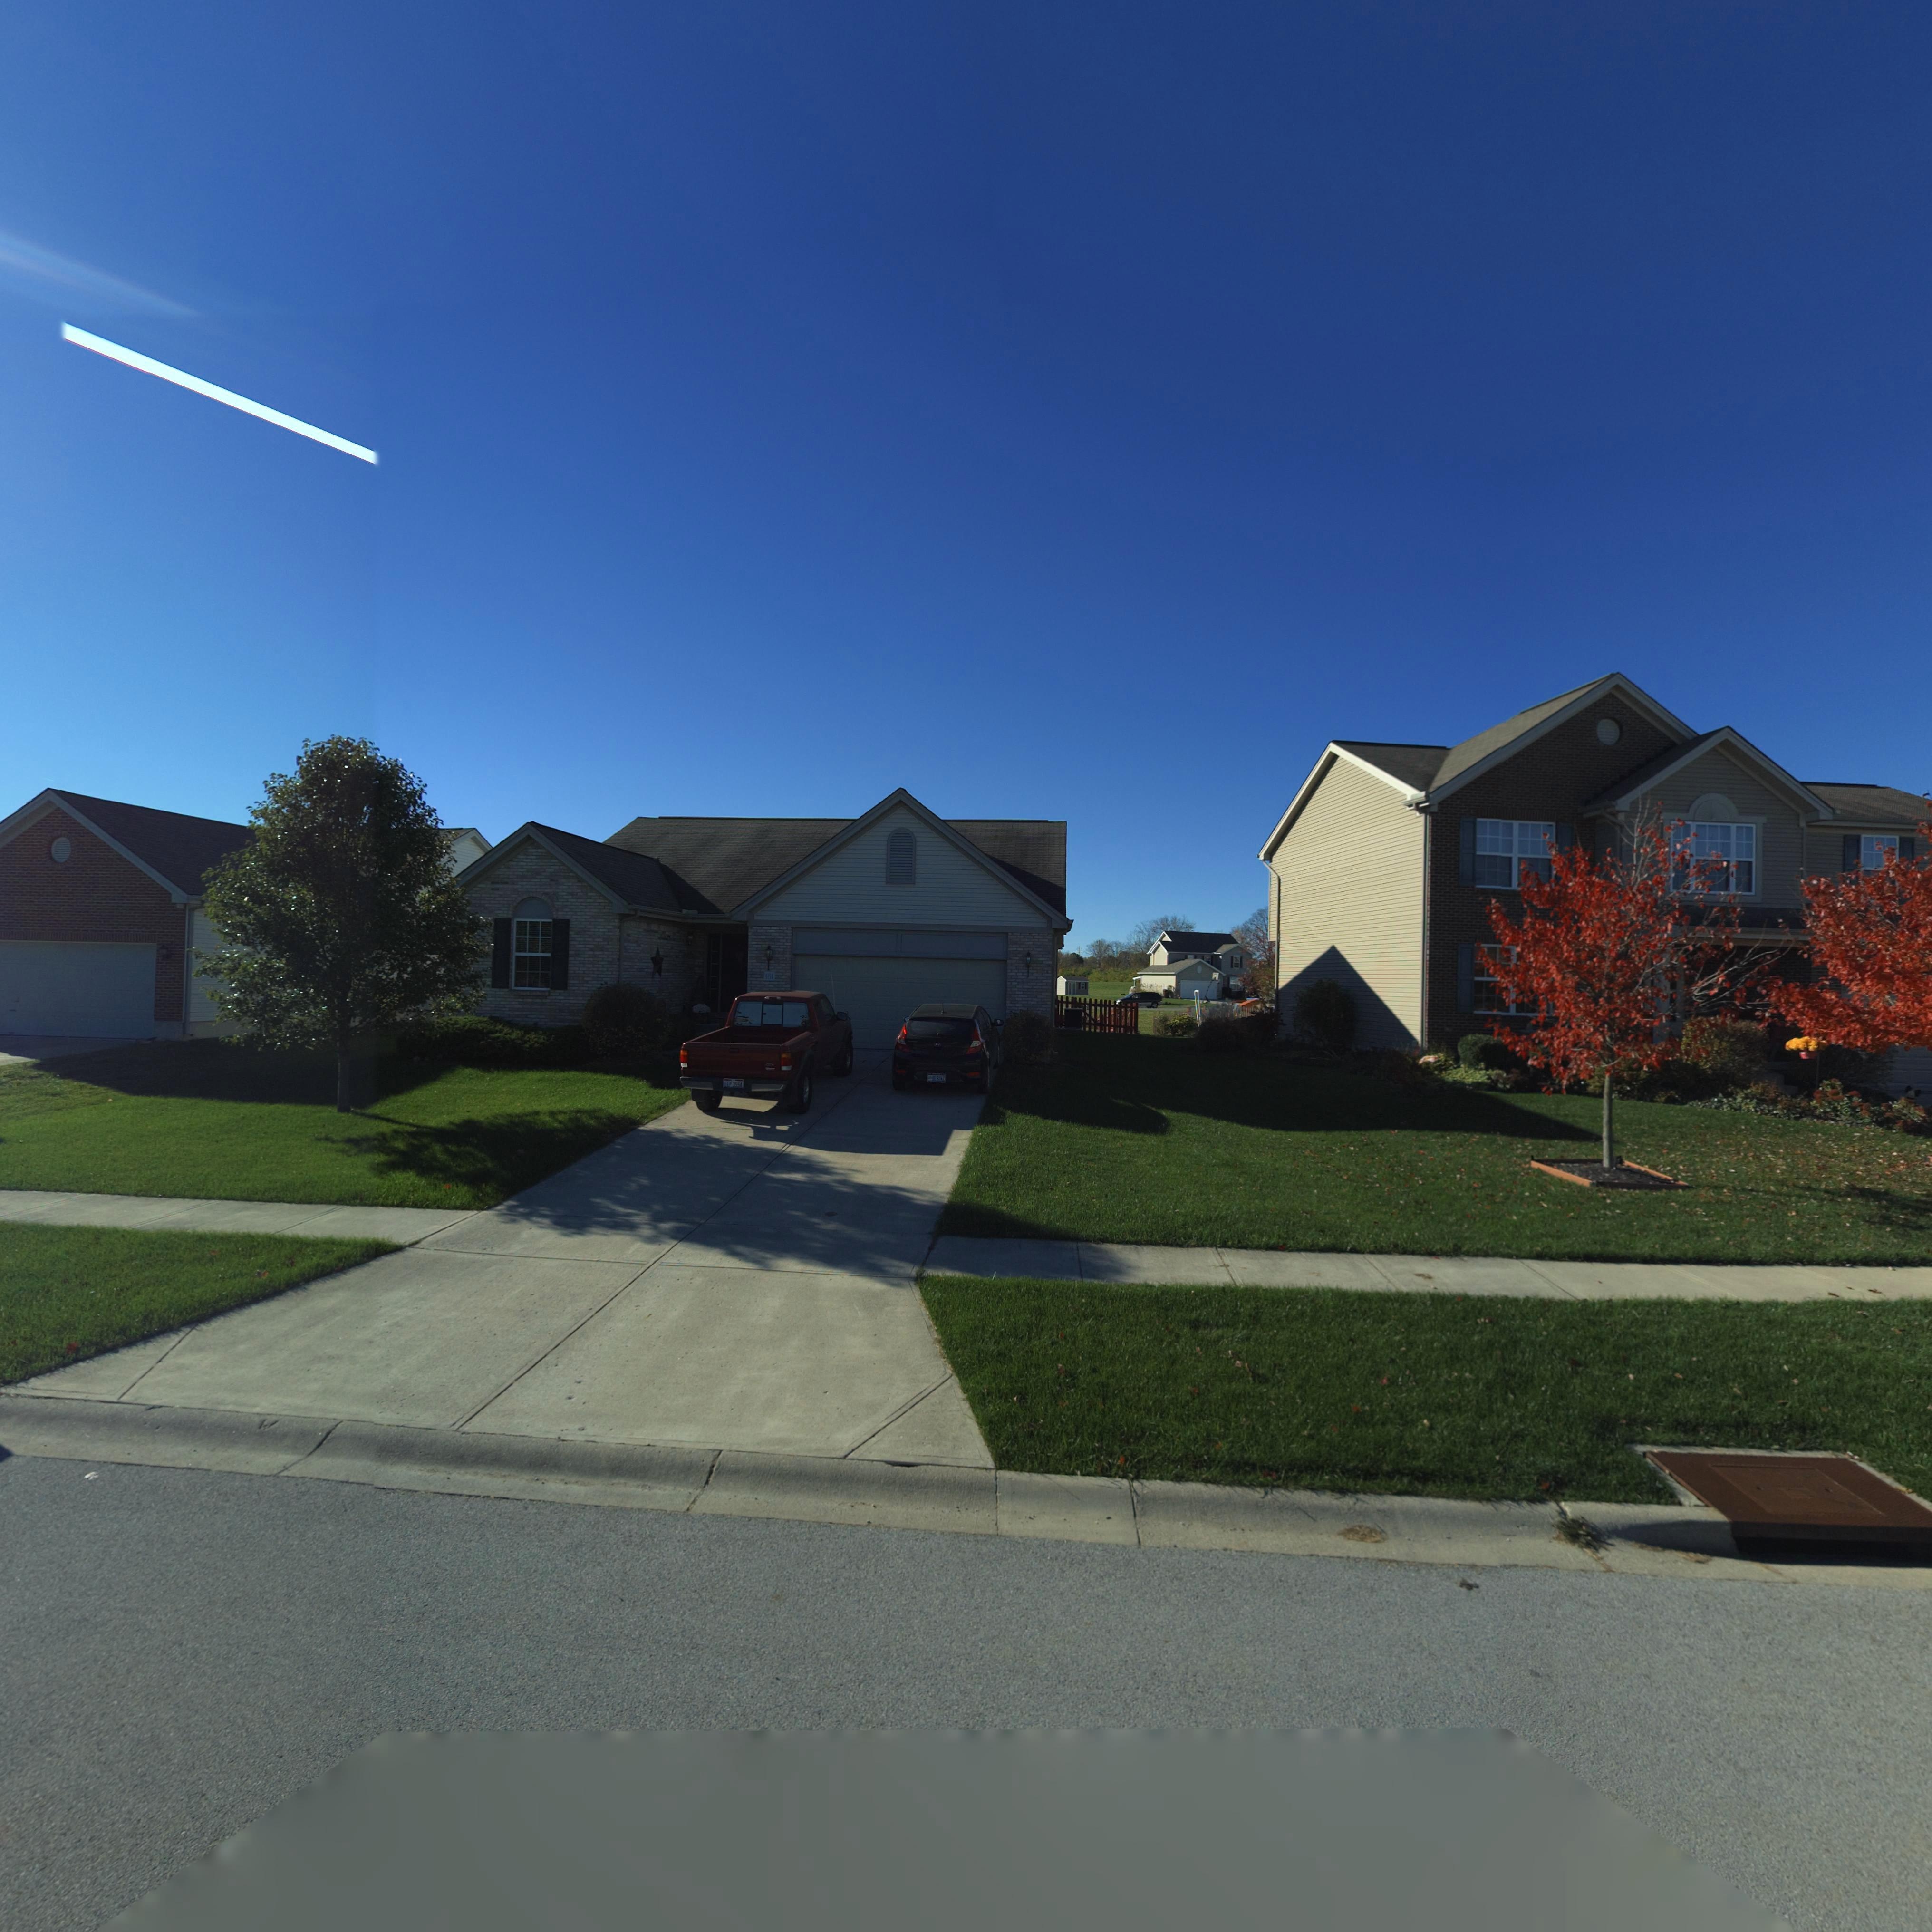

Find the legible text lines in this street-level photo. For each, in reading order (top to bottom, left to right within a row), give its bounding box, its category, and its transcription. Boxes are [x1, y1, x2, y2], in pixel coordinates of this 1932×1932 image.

[765, 972, 774, 980] StreetNumber: 181